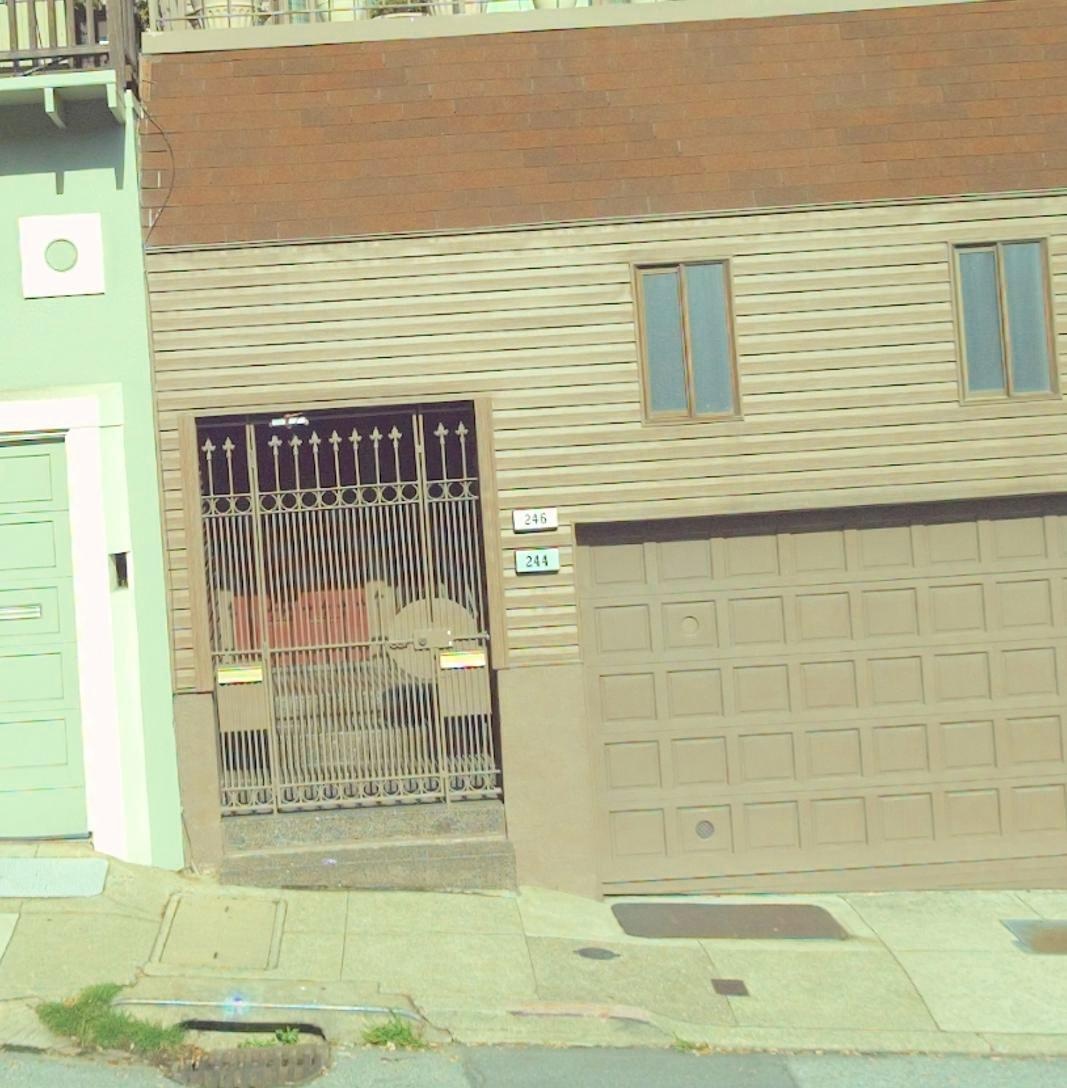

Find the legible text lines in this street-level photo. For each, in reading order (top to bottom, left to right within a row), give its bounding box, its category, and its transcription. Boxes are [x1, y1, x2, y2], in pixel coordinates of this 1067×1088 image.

[523, 512, 548, 527] StreetNumber: 246
[524, 554, 550, 568] StreetNumber: 244